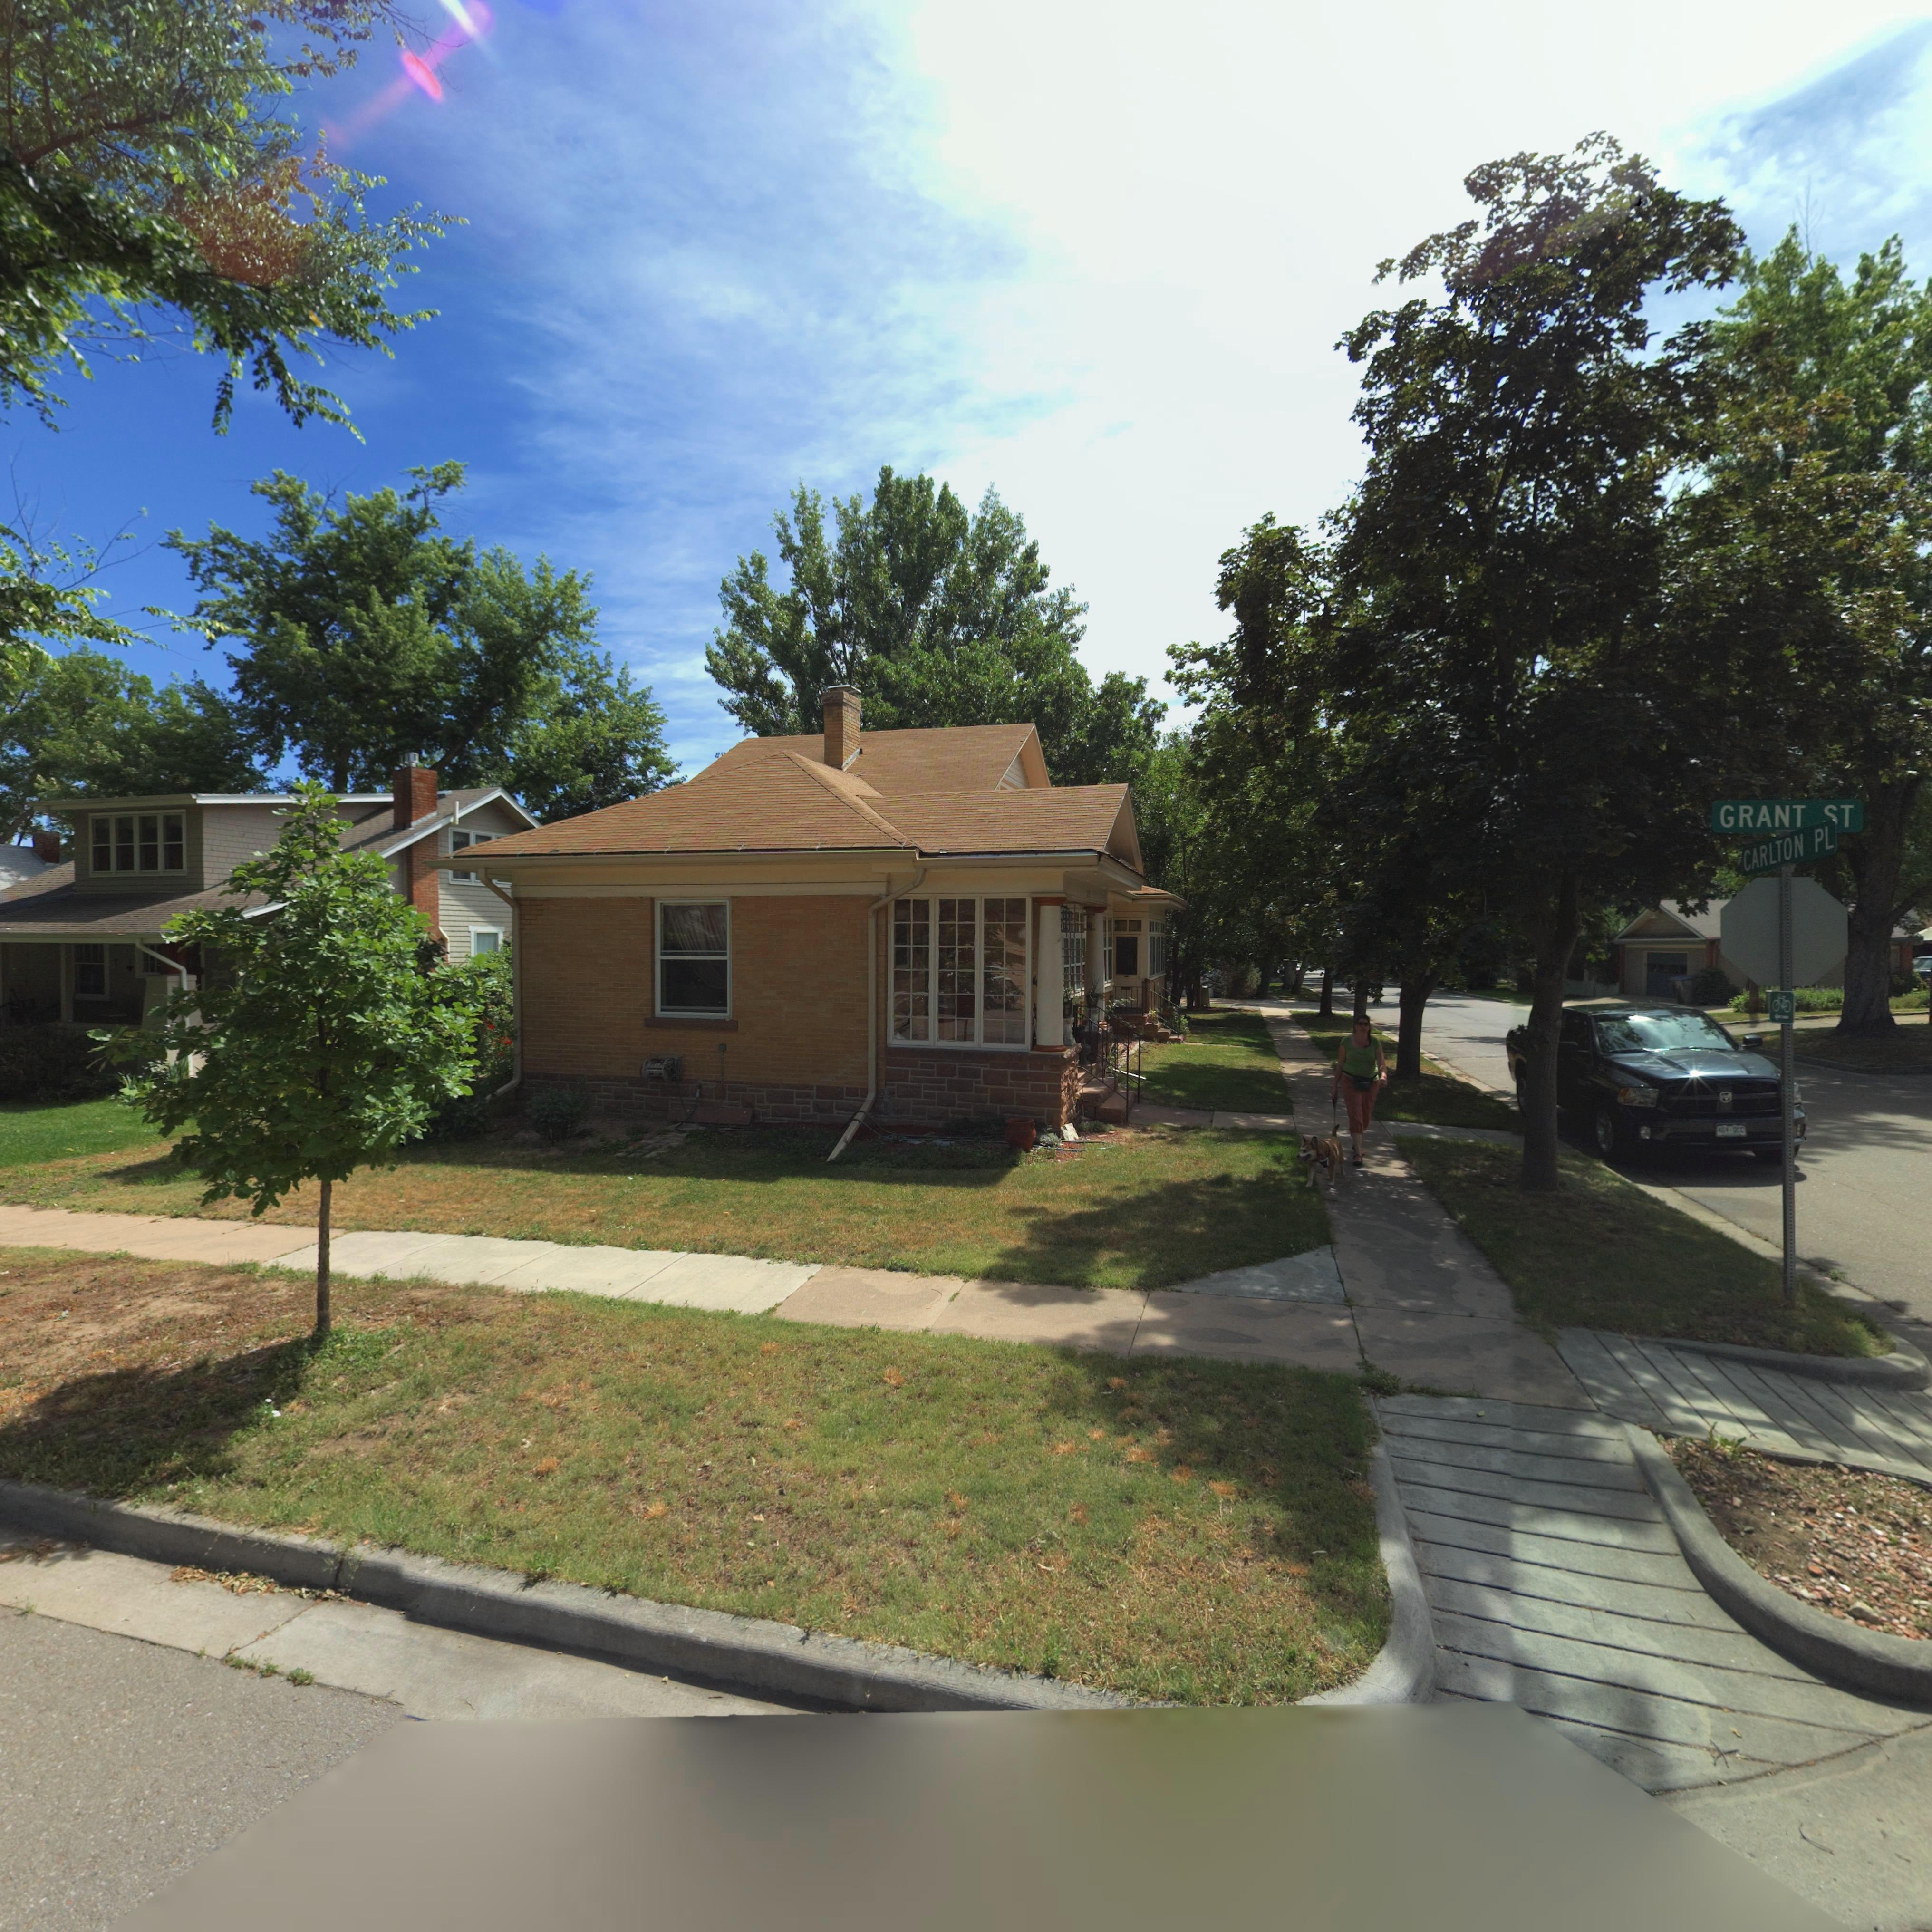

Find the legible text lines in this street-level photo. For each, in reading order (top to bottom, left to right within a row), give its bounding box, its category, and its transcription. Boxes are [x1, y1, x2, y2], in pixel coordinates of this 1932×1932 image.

[1719, 804, 1855, 828] StreetName: GRANT ST
[1743, 825, 1835, 871] StreetName: CARLTON PL